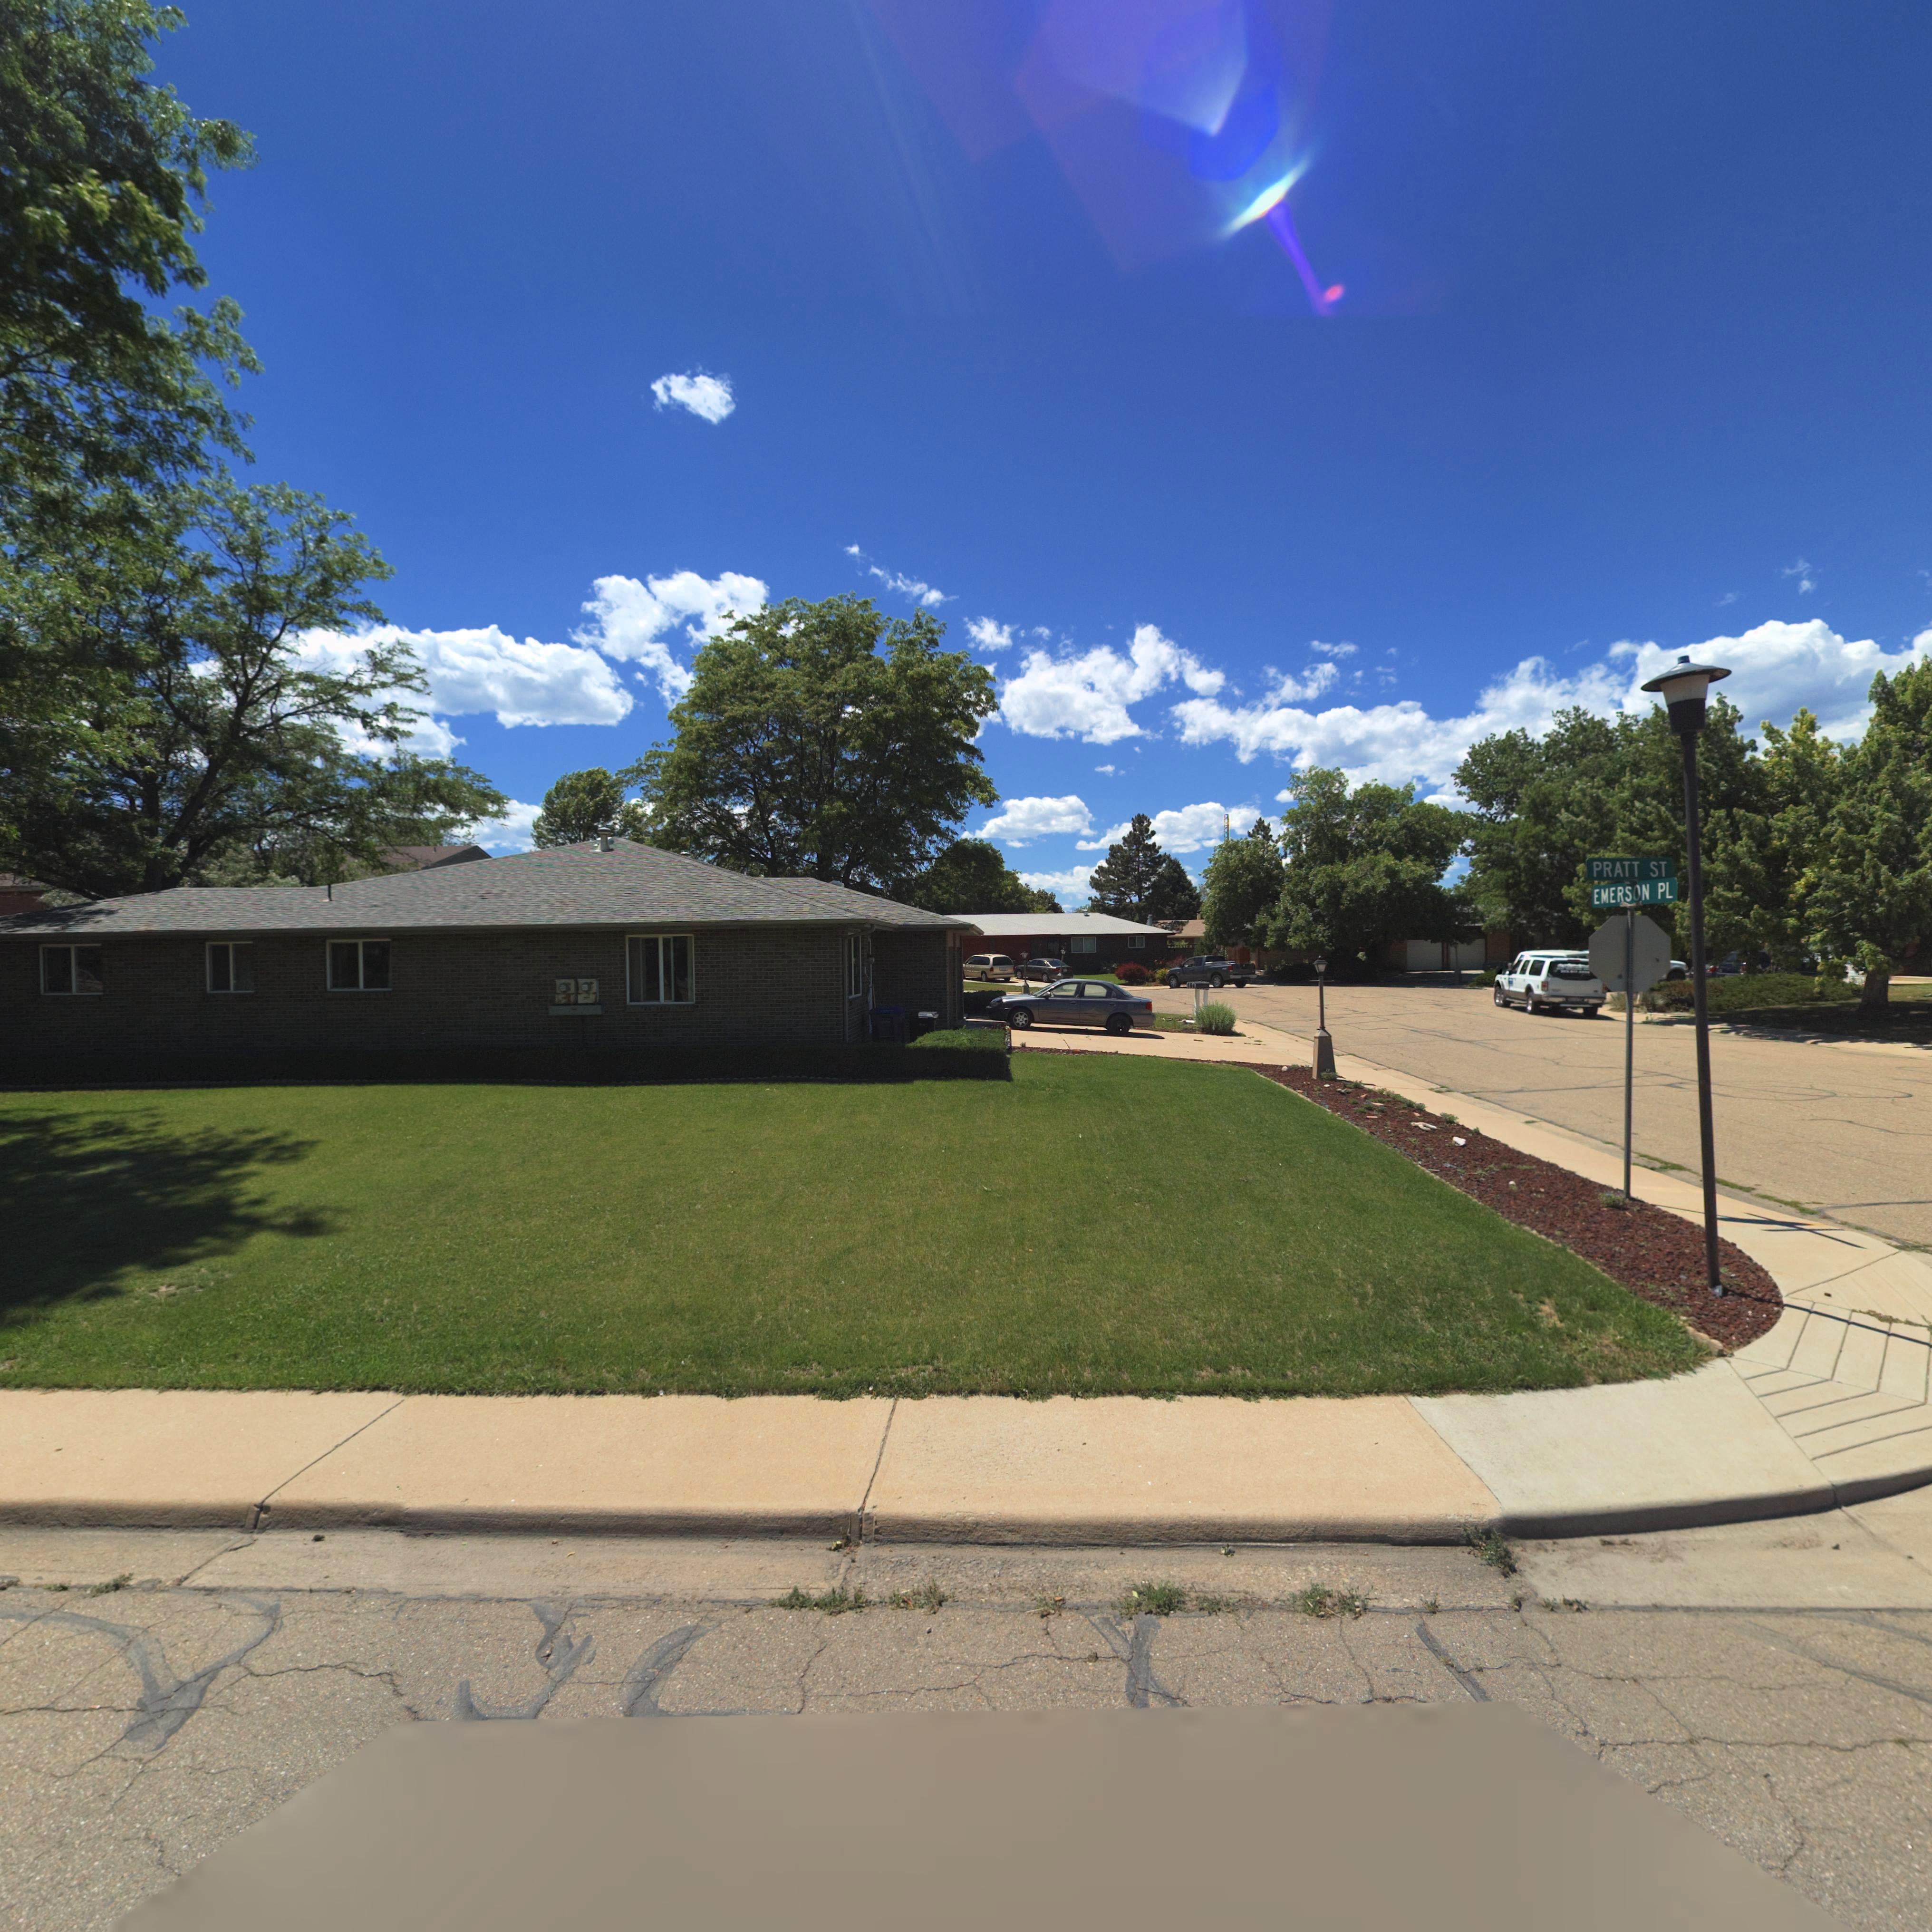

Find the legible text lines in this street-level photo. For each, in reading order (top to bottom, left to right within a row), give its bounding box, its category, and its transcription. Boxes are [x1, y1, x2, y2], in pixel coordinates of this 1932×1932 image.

[1592, 861, 1668, 878] StreetName: PRATT ST
[1593, 881, 1674, 905] StreetName: EMERSON PL